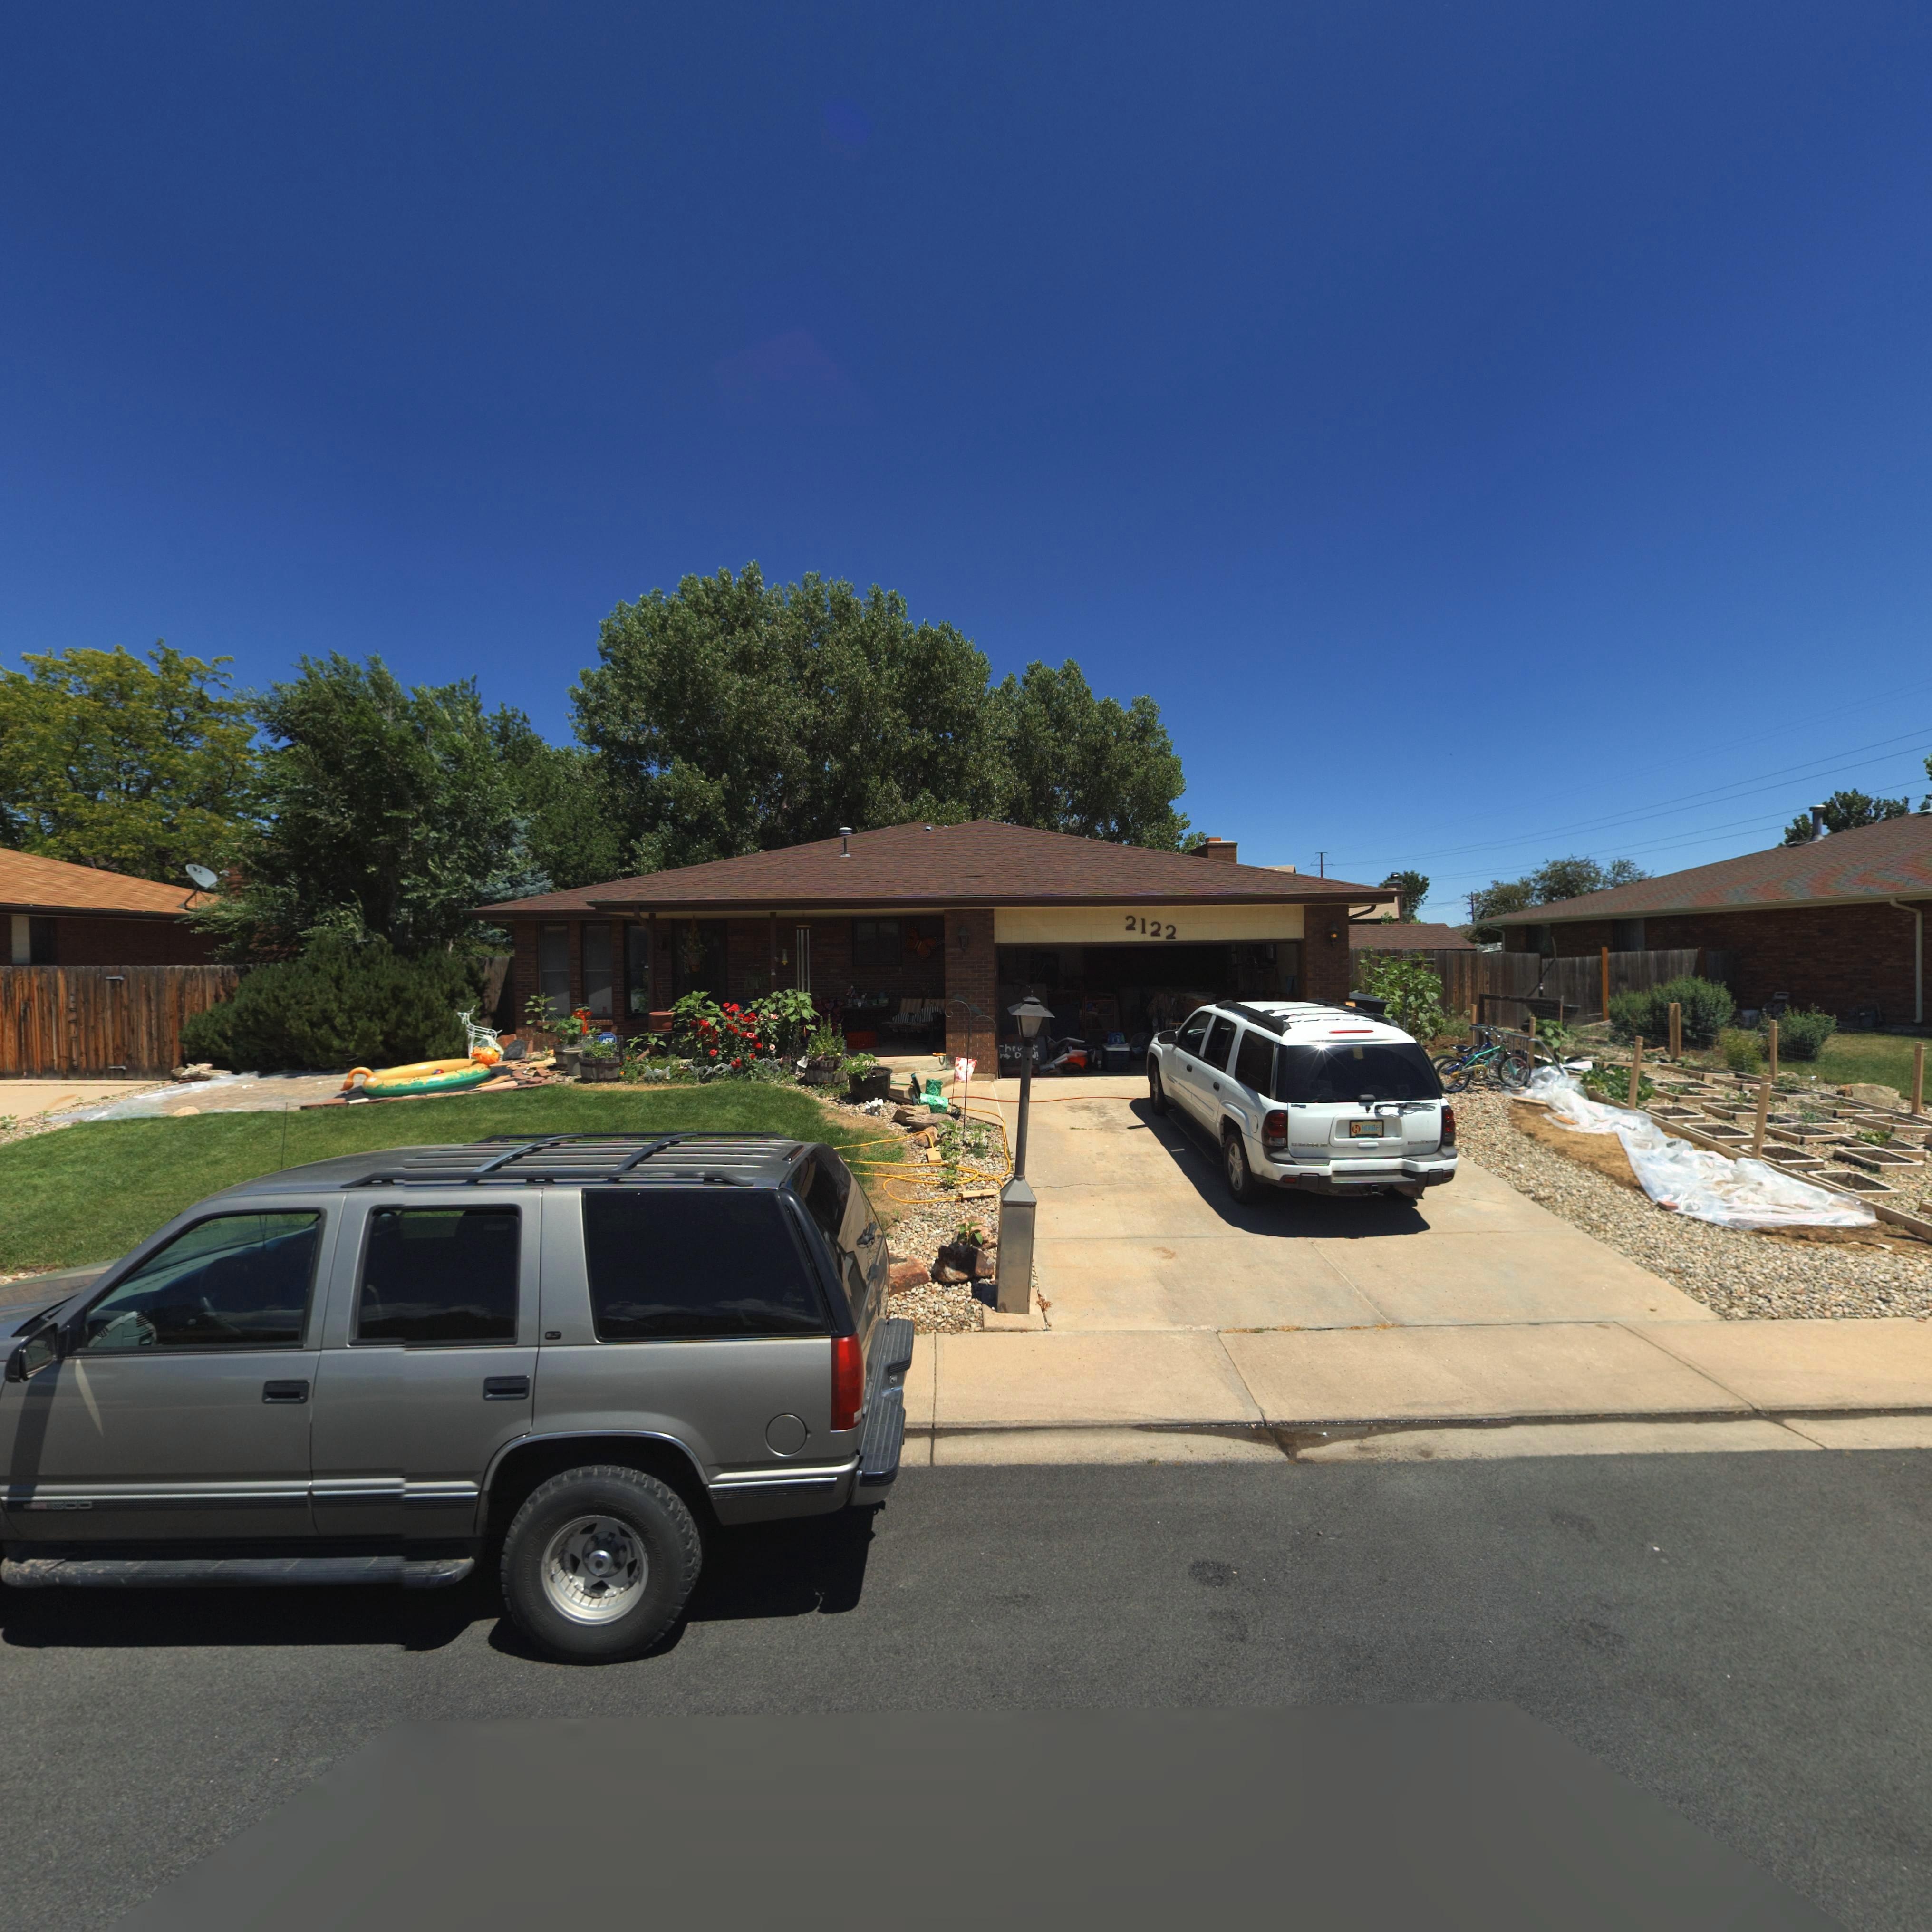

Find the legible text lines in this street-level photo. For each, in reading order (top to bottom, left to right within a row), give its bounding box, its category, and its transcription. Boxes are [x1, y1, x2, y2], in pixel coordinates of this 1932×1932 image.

[1125, 914, 1177, 940] StreetNumber: 2122